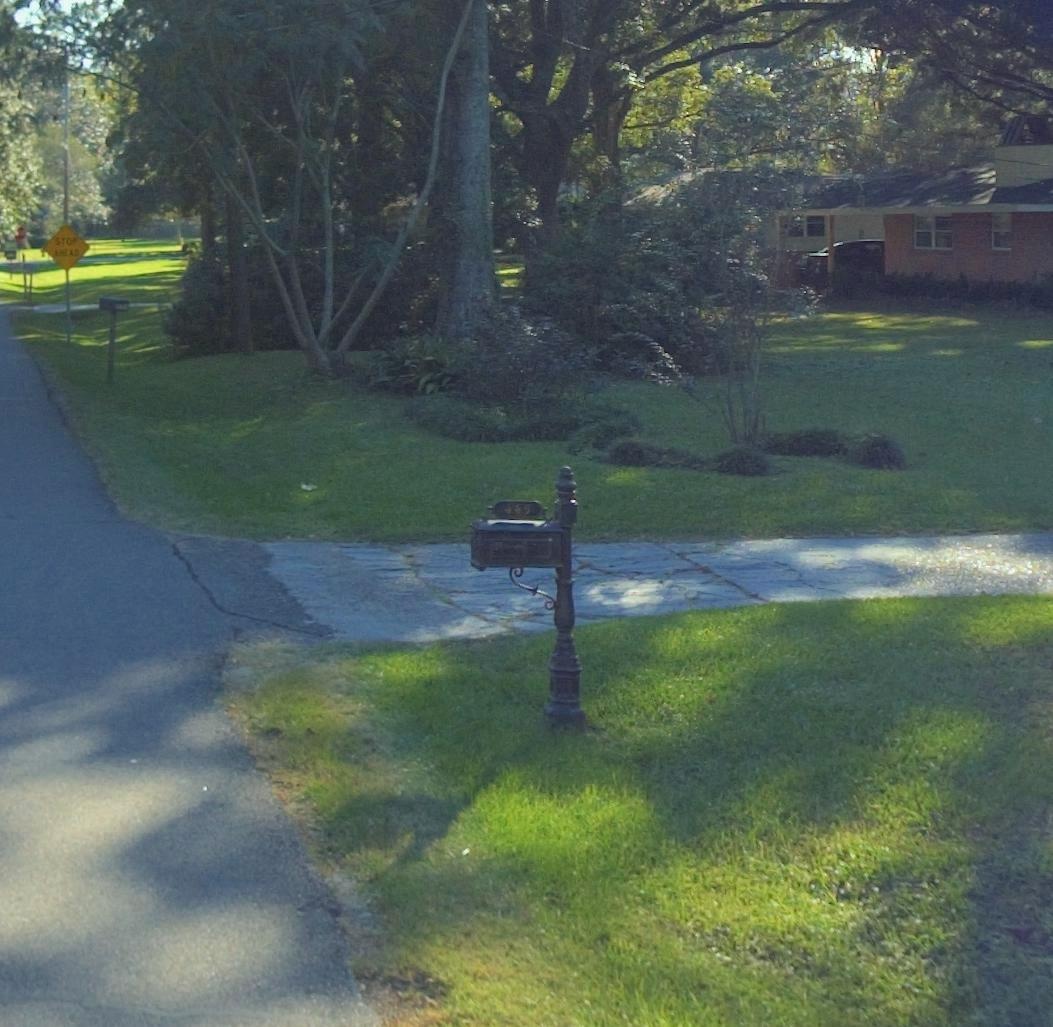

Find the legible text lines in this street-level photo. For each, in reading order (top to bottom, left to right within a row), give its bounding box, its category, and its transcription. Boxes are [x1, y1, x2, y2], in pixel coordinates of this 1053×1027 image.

[52, 235, 78, 247] None: STOP
[52, 247, 82, 258] None: AHEAD
[503, 502, 533, 517] StreetNumber: 445